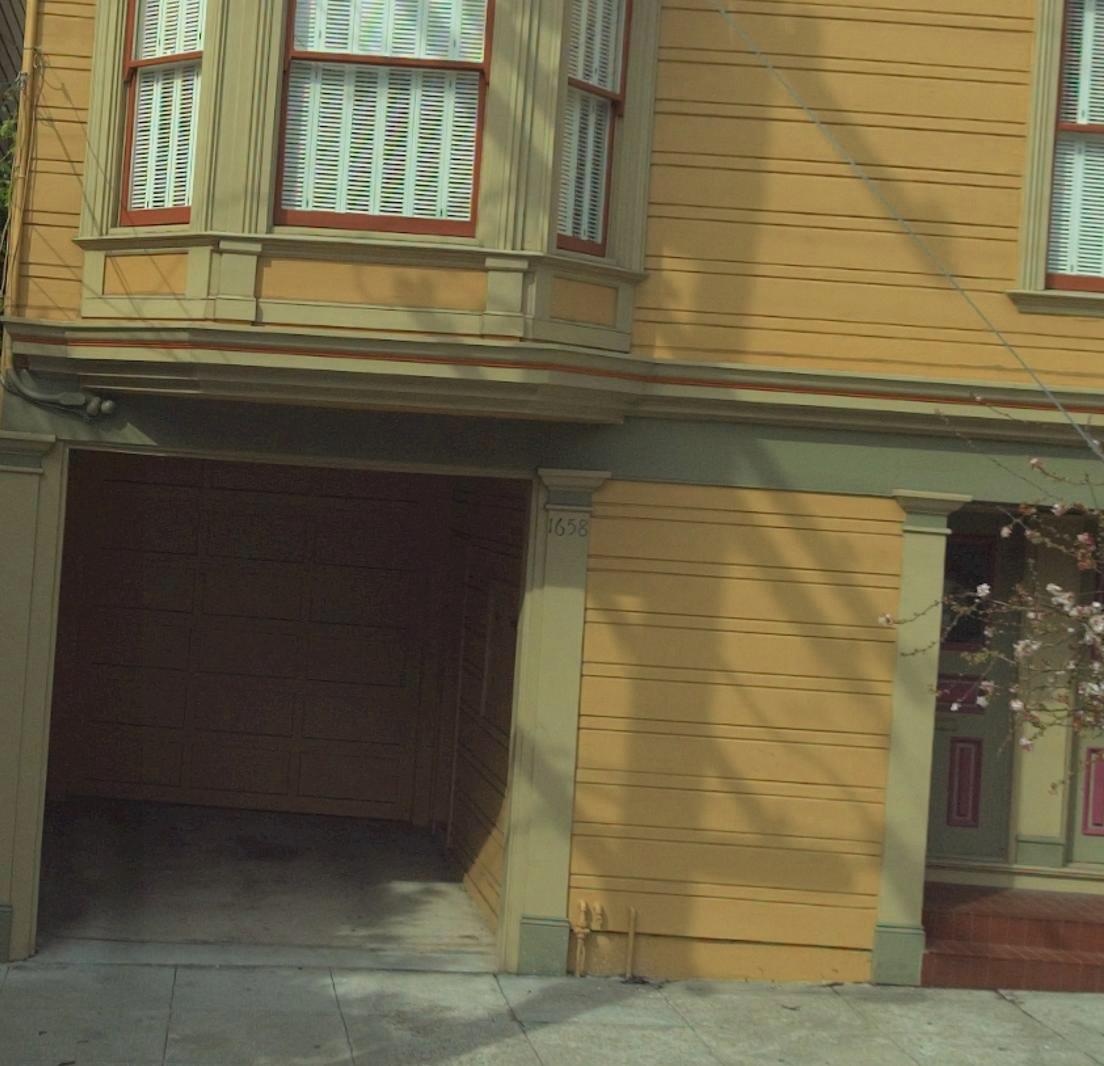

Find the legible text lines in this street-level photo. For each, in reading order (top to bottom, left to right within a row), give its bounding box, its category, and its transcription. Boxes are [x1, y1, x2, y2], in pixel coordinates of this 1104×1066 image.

[544, 514, 593, 540] StreetNumber: 1658